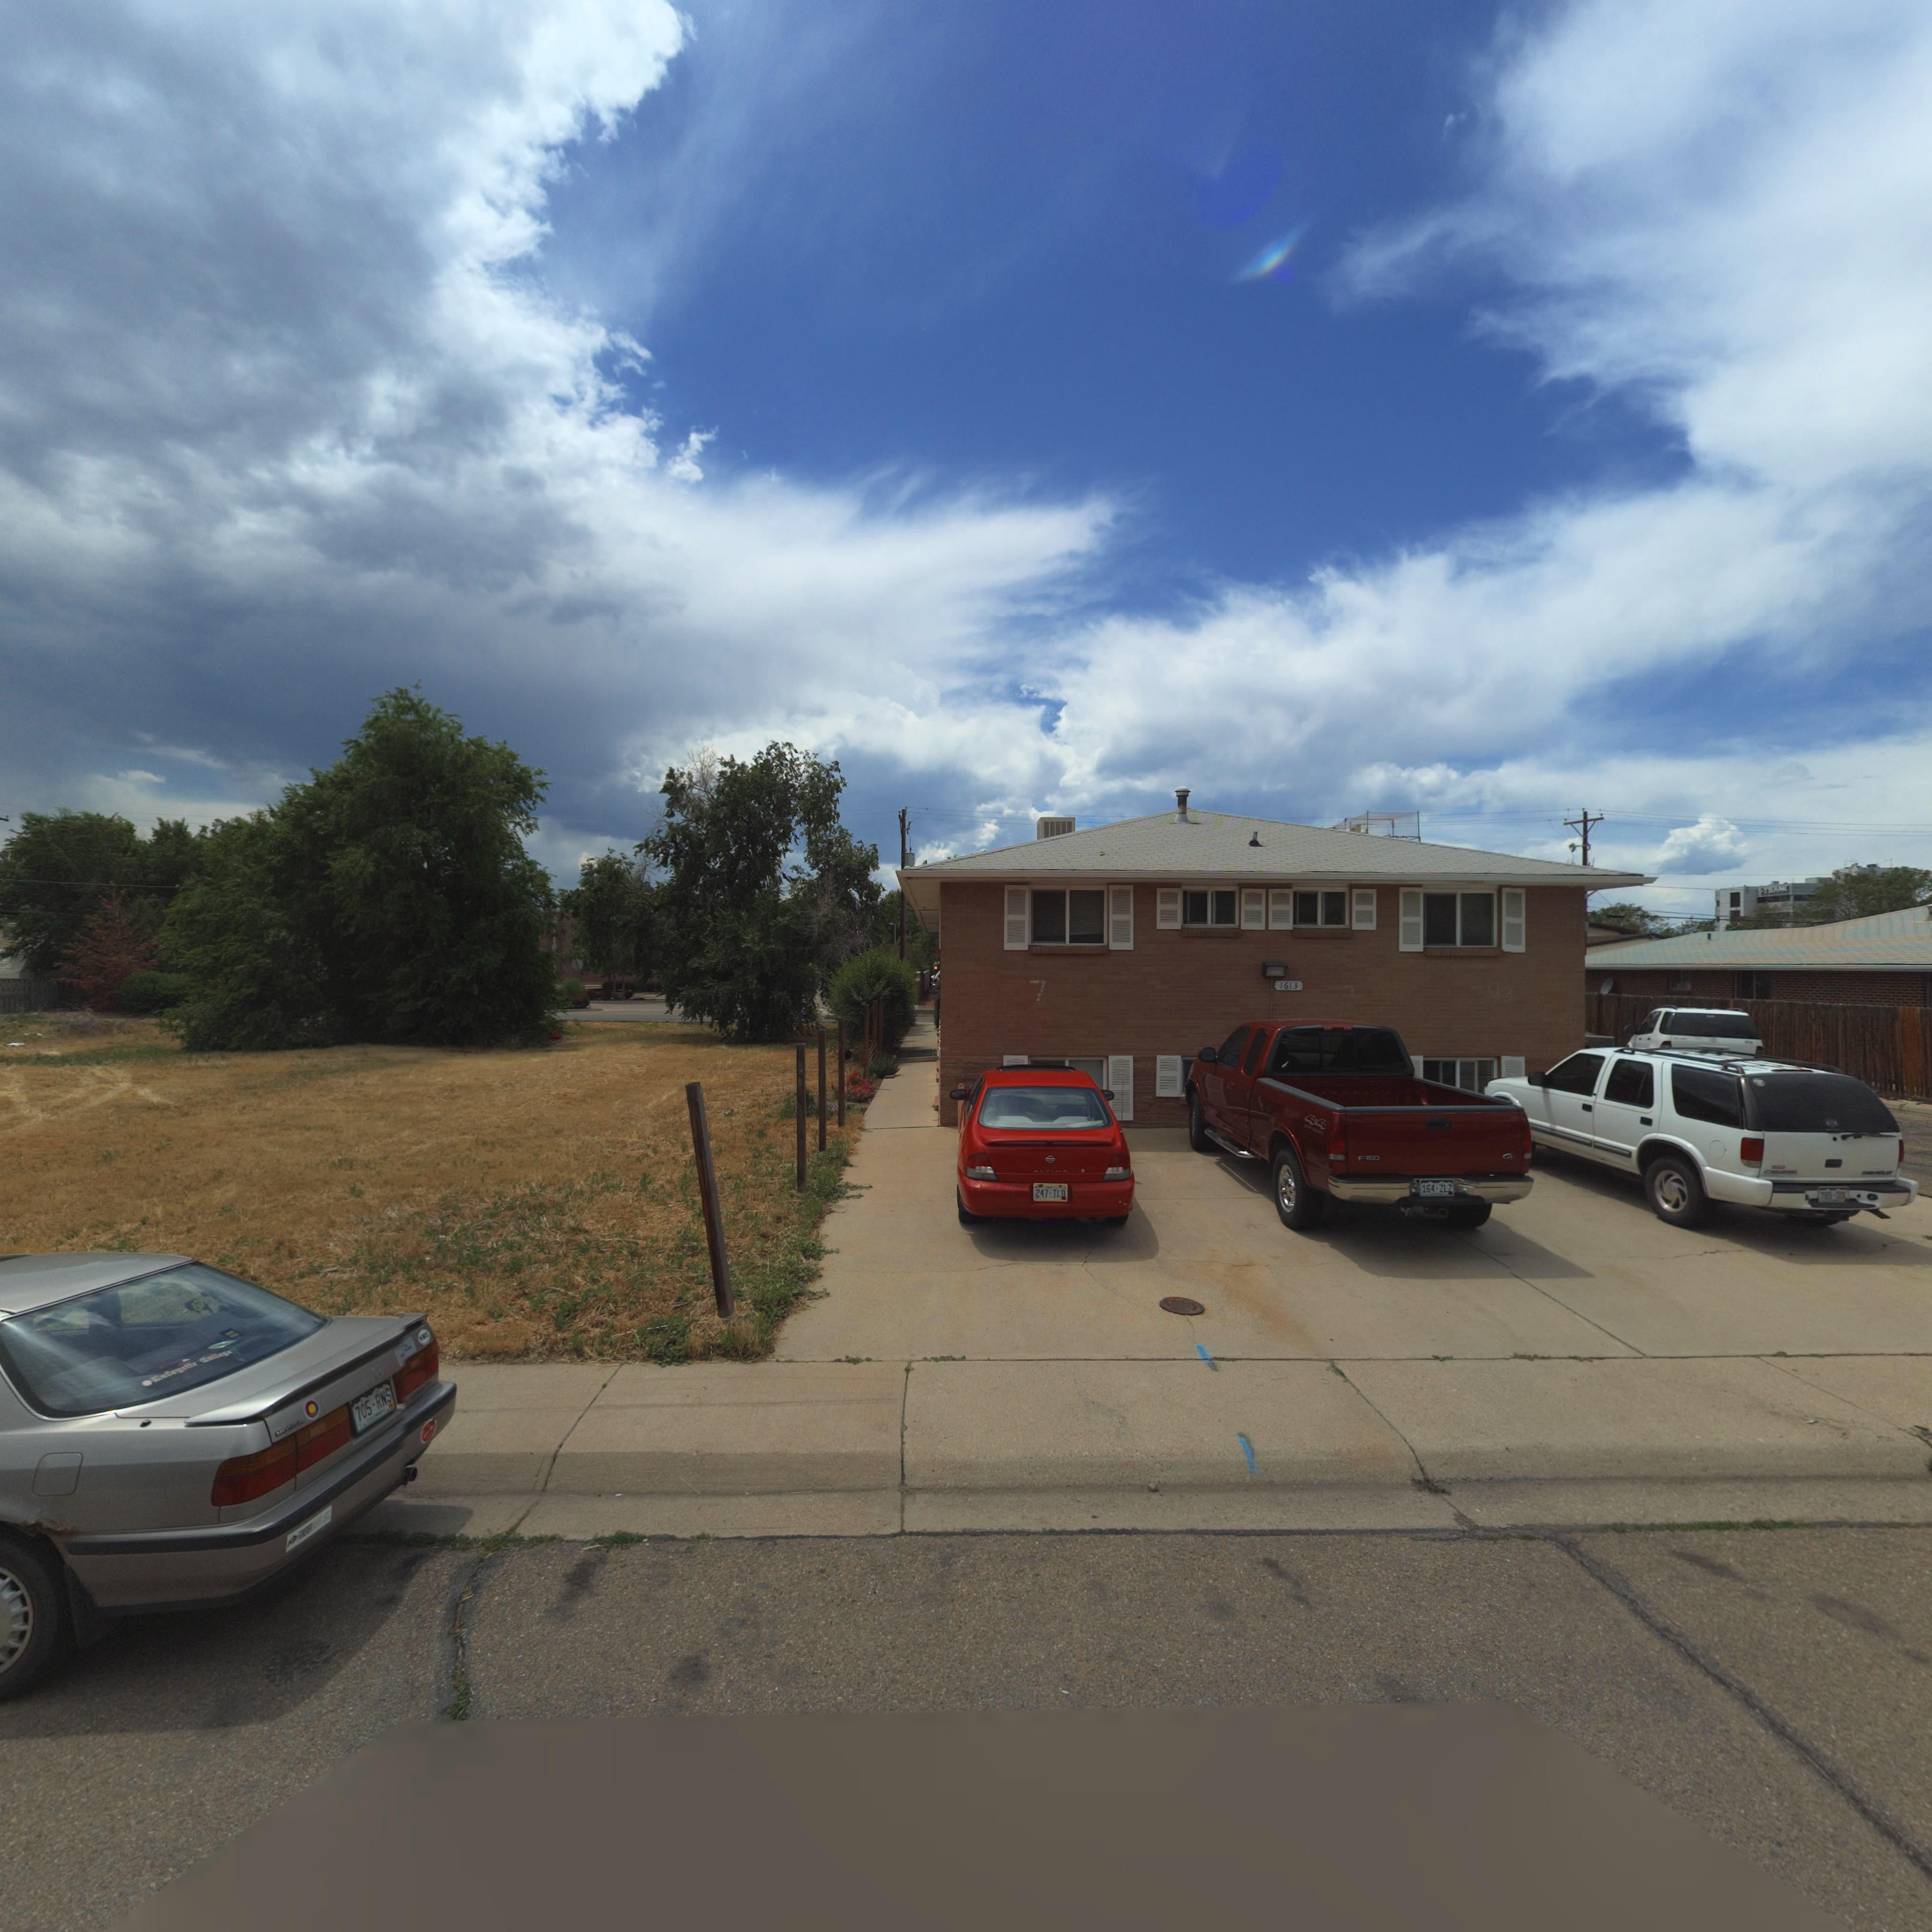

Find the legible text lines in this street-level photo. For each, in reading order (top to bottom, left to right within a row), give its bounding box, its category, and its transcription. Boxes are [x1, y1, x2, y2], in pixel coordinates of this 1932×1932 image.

[1758, 884, 1788, 894] BusinessName: *1STBAN*
[1280, 982, 1297, 989] StreetNumber: 1613